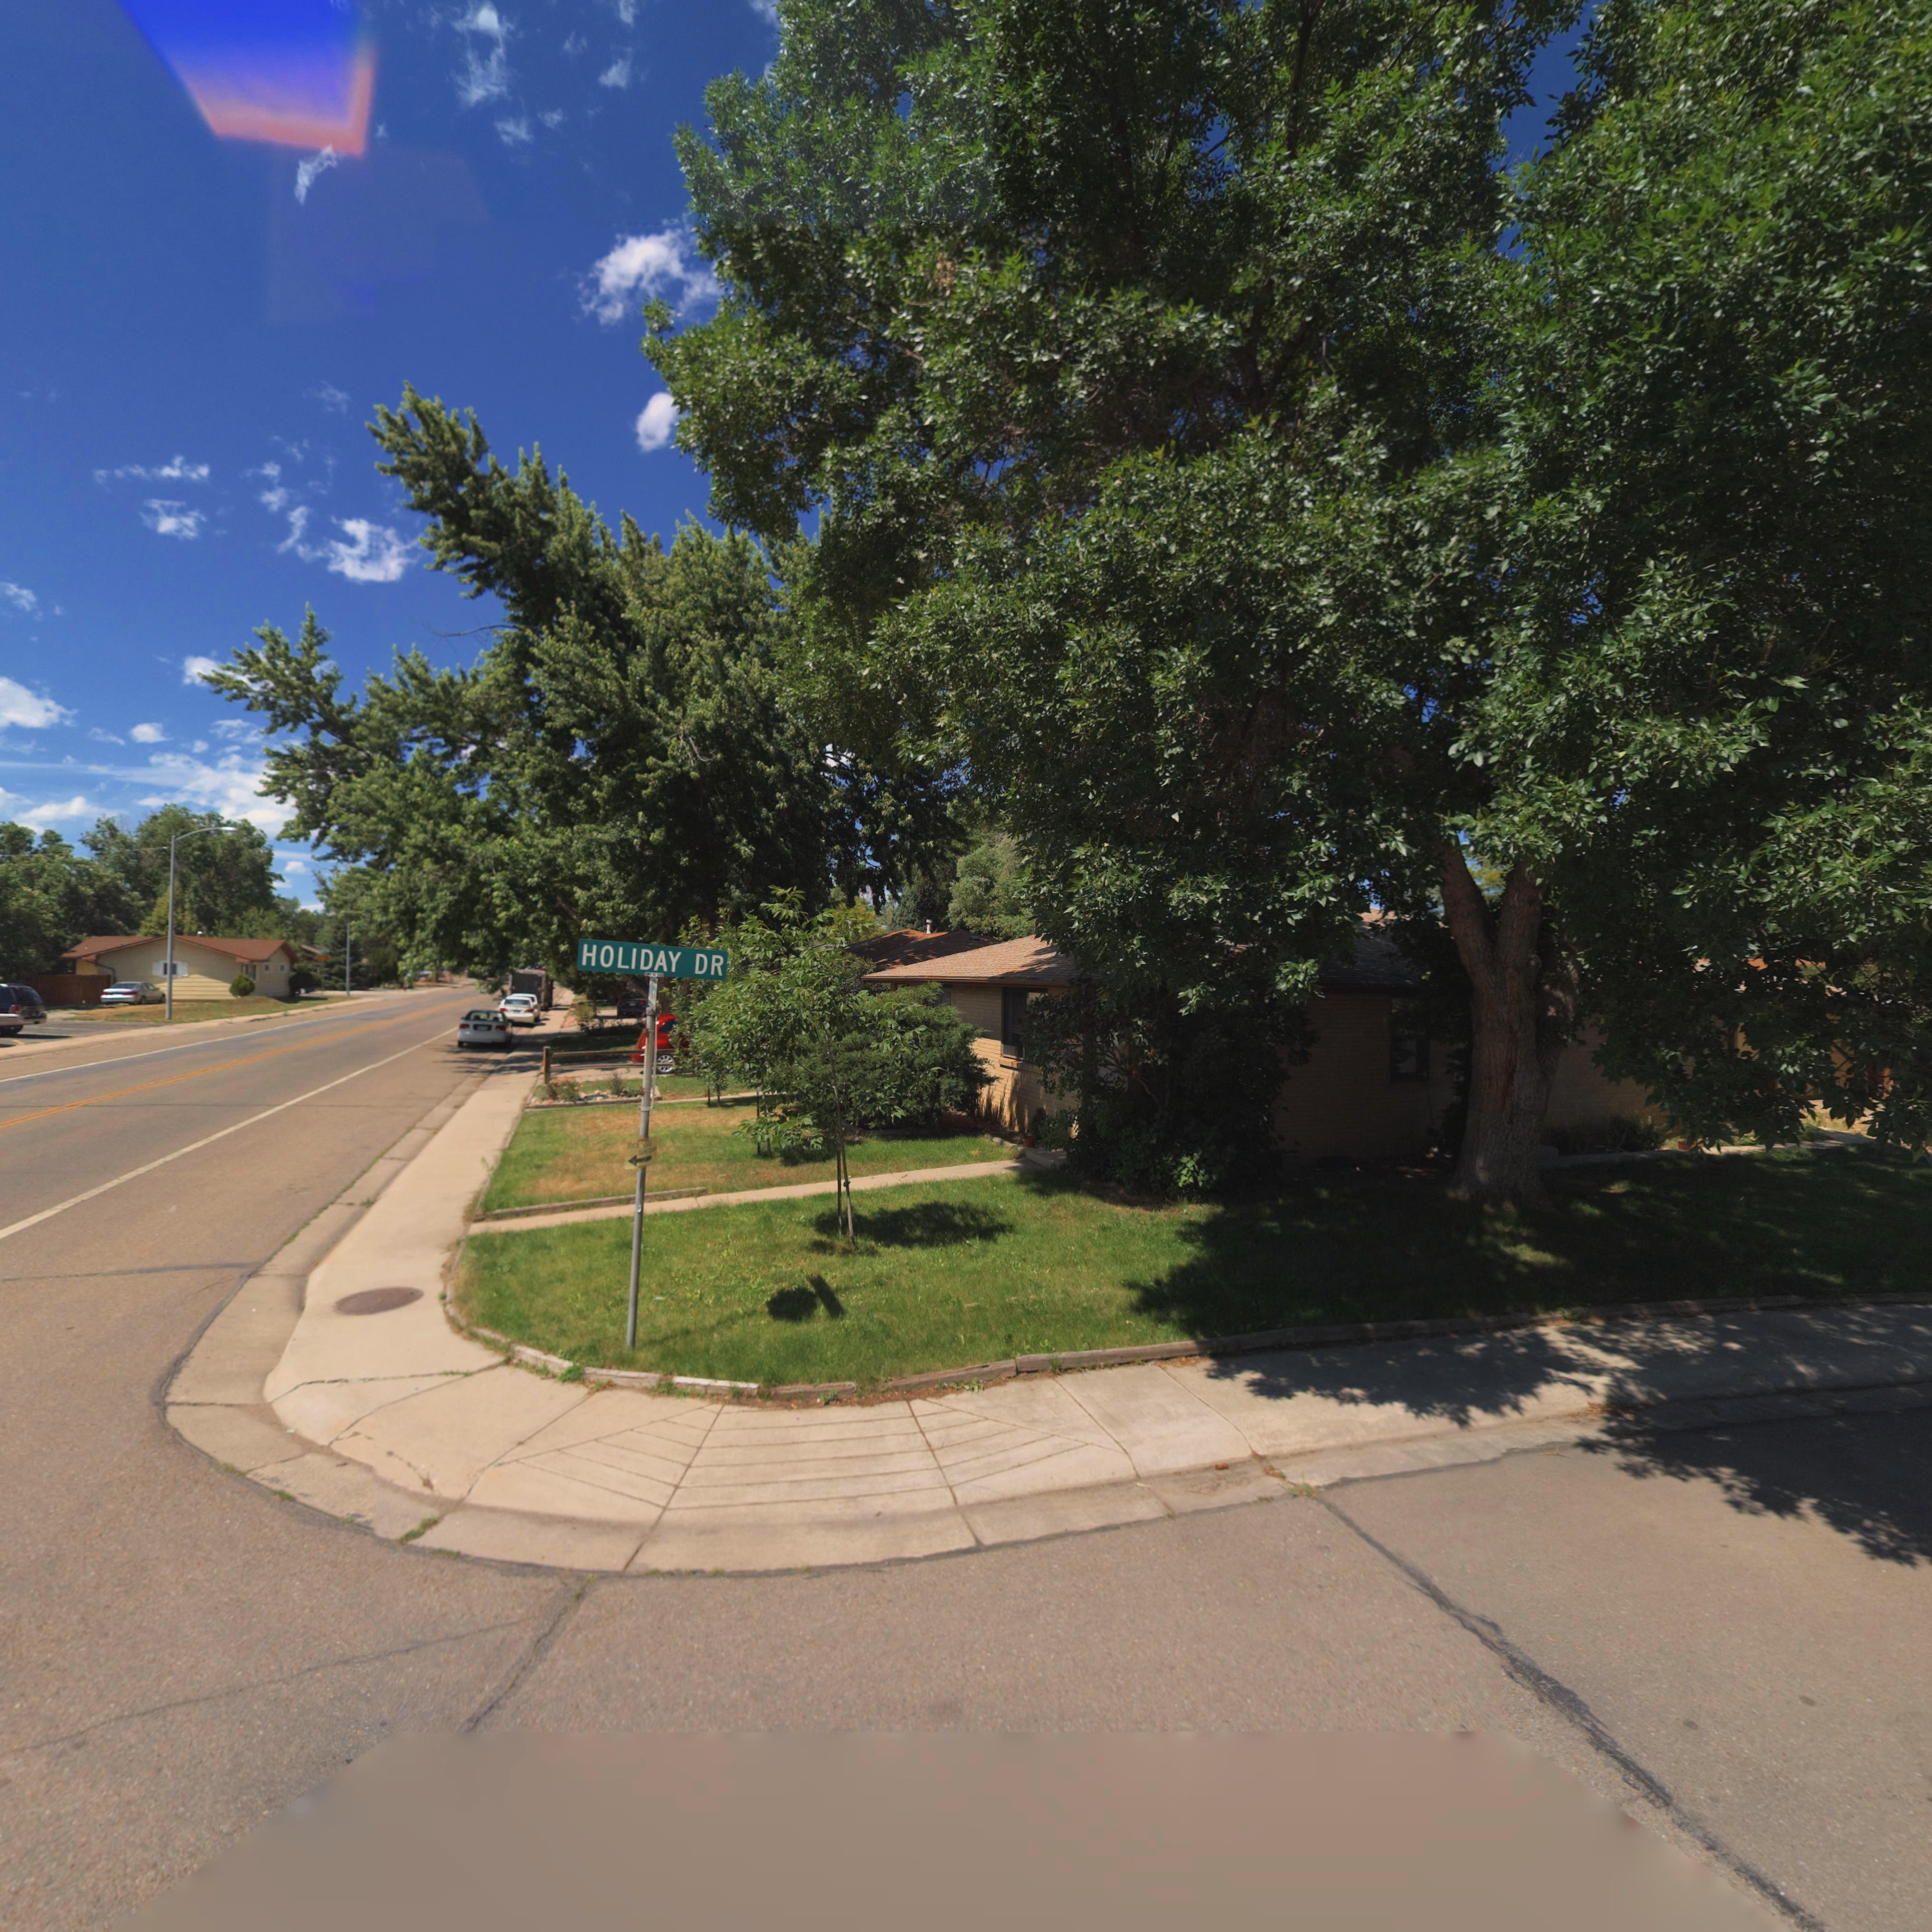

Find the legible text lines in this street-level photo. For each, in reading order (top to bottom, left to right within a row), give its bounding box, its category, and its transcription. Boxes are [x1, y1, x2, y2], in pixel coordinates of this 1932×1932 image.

[580, 942, 725, 977] StreetName: HOLIDAY DR